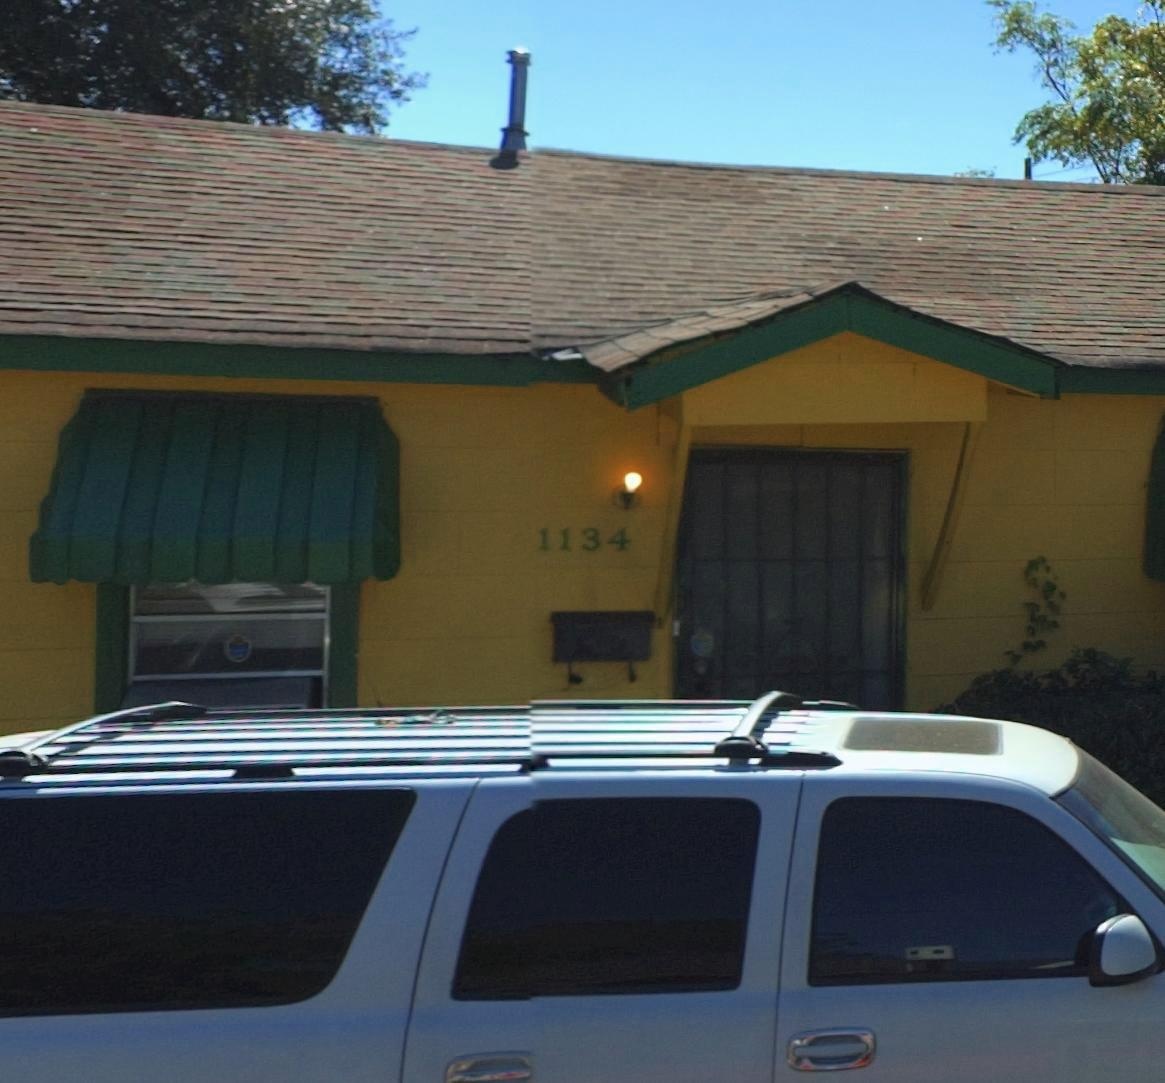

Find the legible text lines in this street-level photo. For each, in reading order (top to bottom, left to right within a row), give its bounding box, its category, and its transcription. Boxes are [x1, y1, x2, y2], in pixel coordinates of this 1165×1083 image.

[534, 524, 634, 554] StreetNumber: 1134